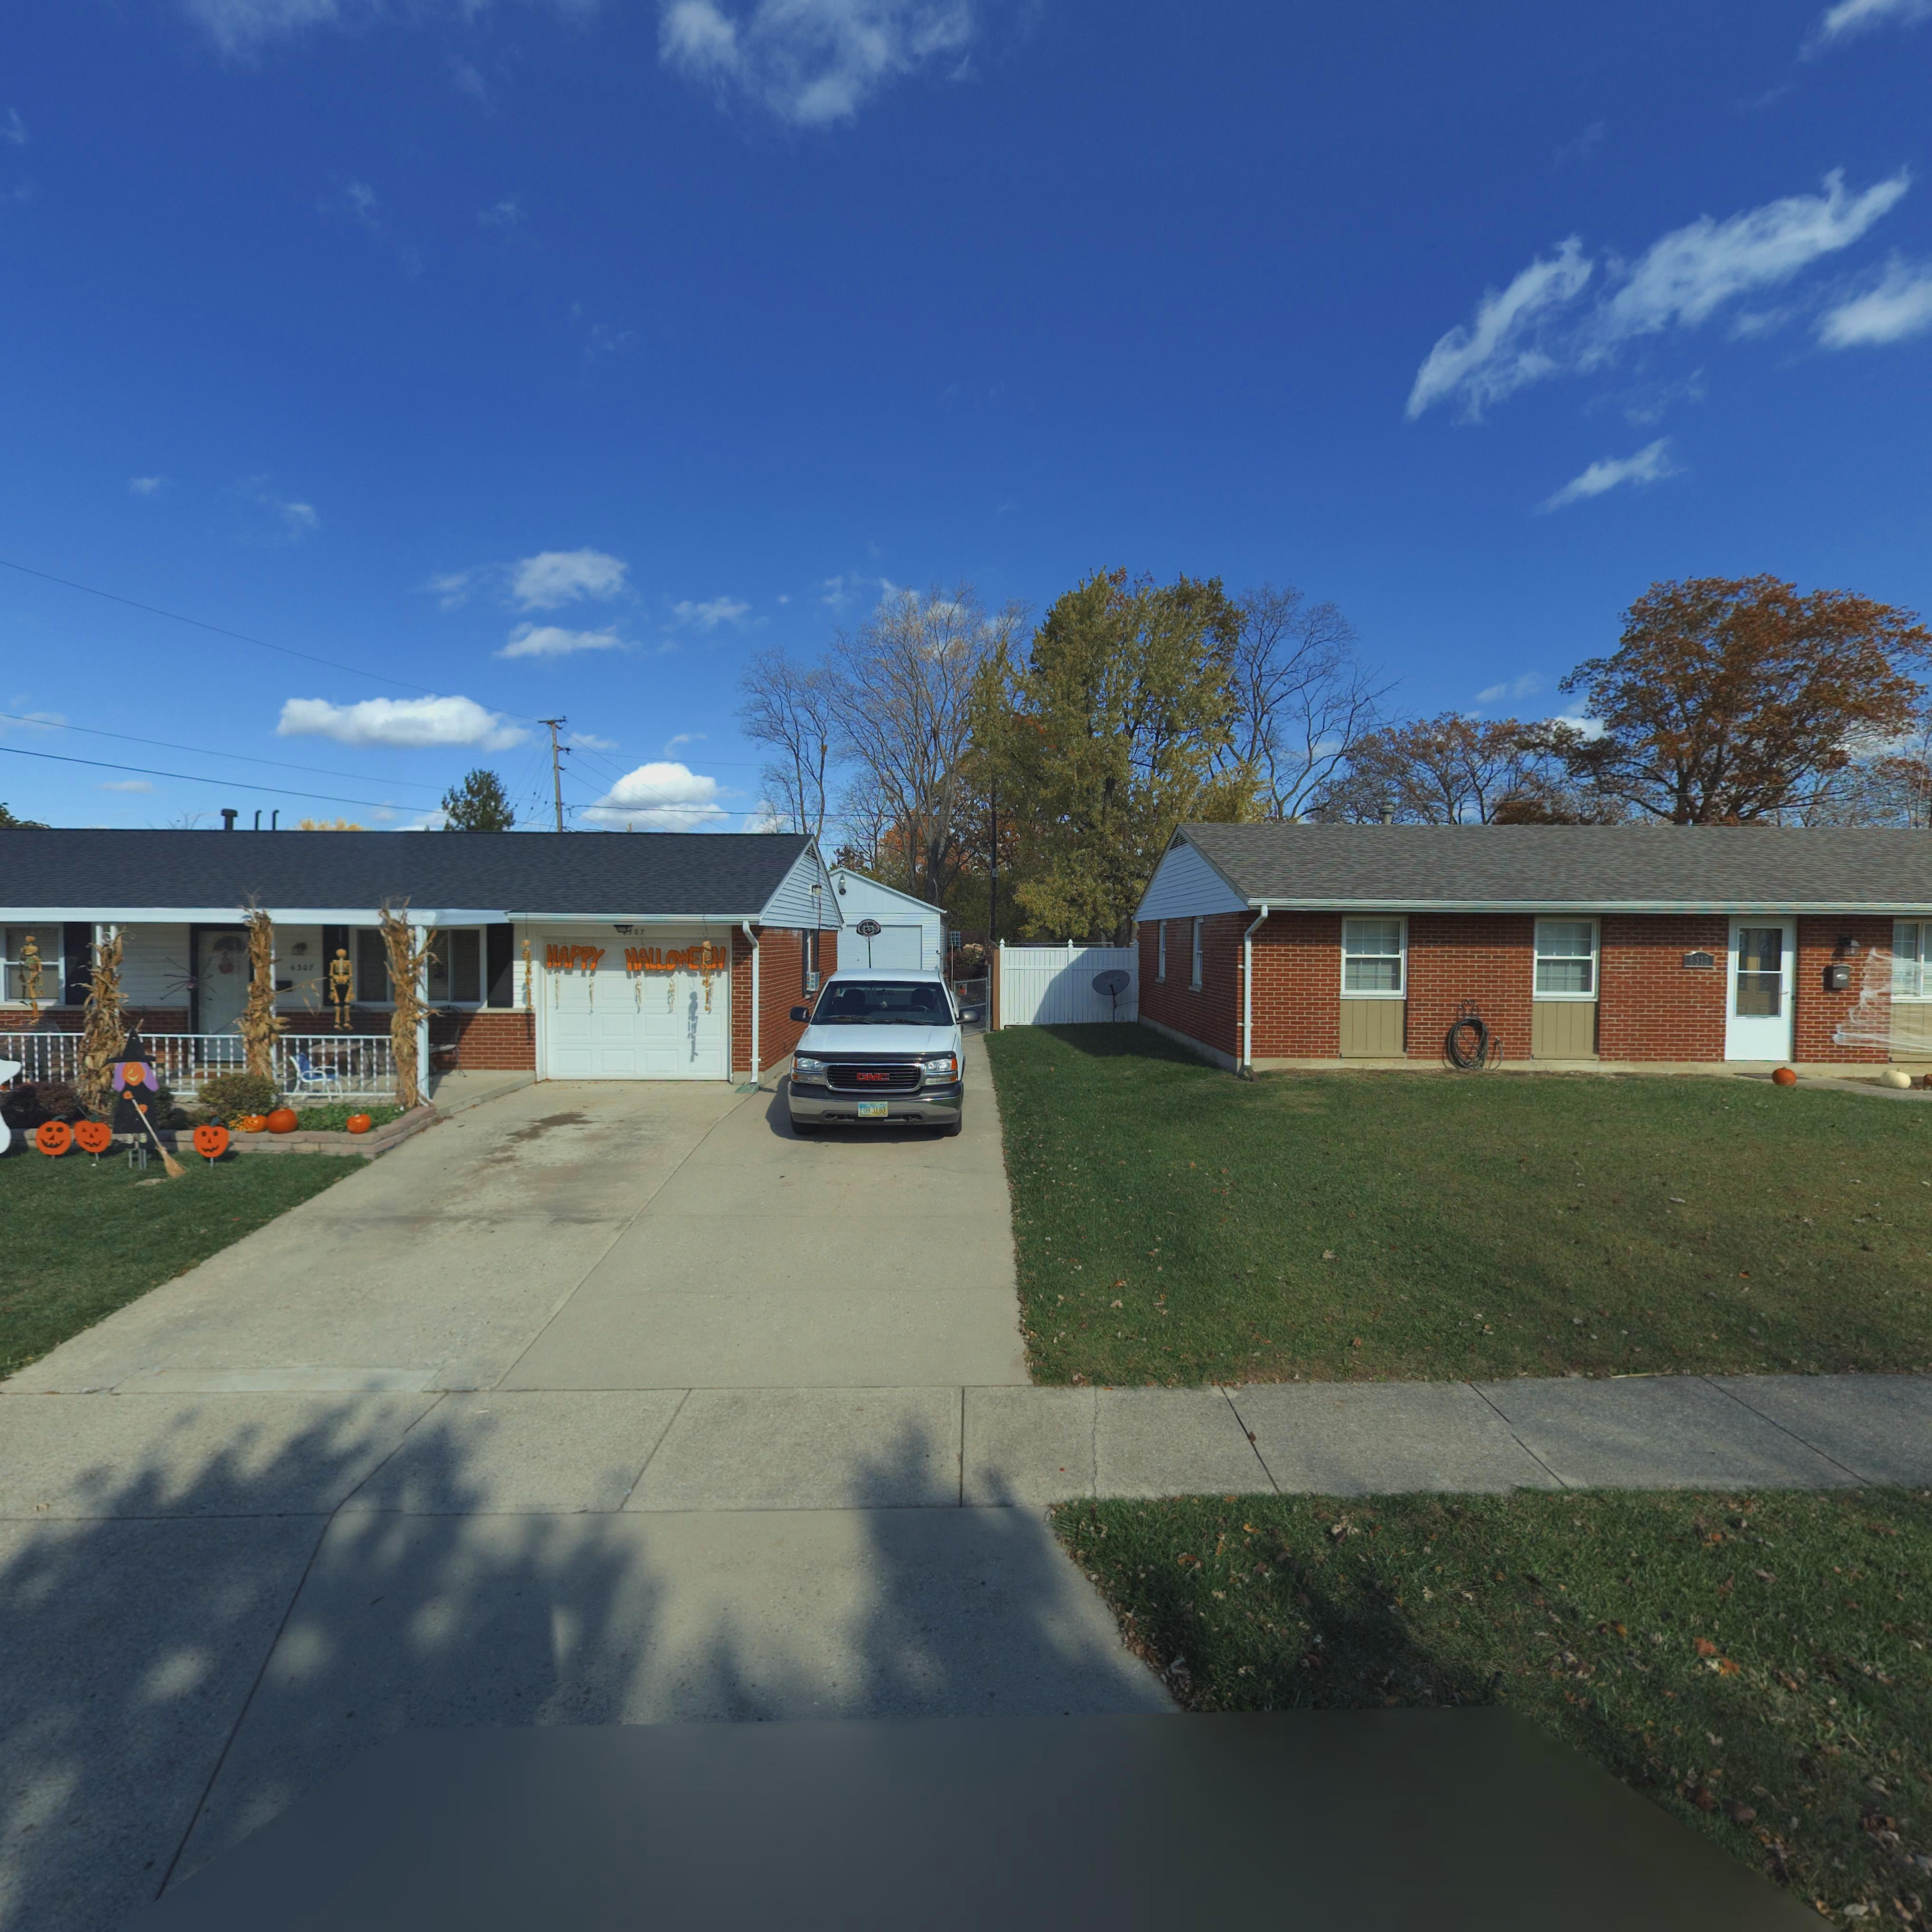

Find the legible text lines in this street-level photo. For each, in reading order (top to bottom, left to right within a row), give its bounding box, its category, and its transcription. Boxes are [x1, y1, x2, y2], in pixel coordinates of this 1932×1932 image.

[634, 928, 646, 936] StreetNumber: 07
[1689, 956, 1710, 966] StreetNumber: 6313
[289, 963, 315, 972] StreetNumber: 6307